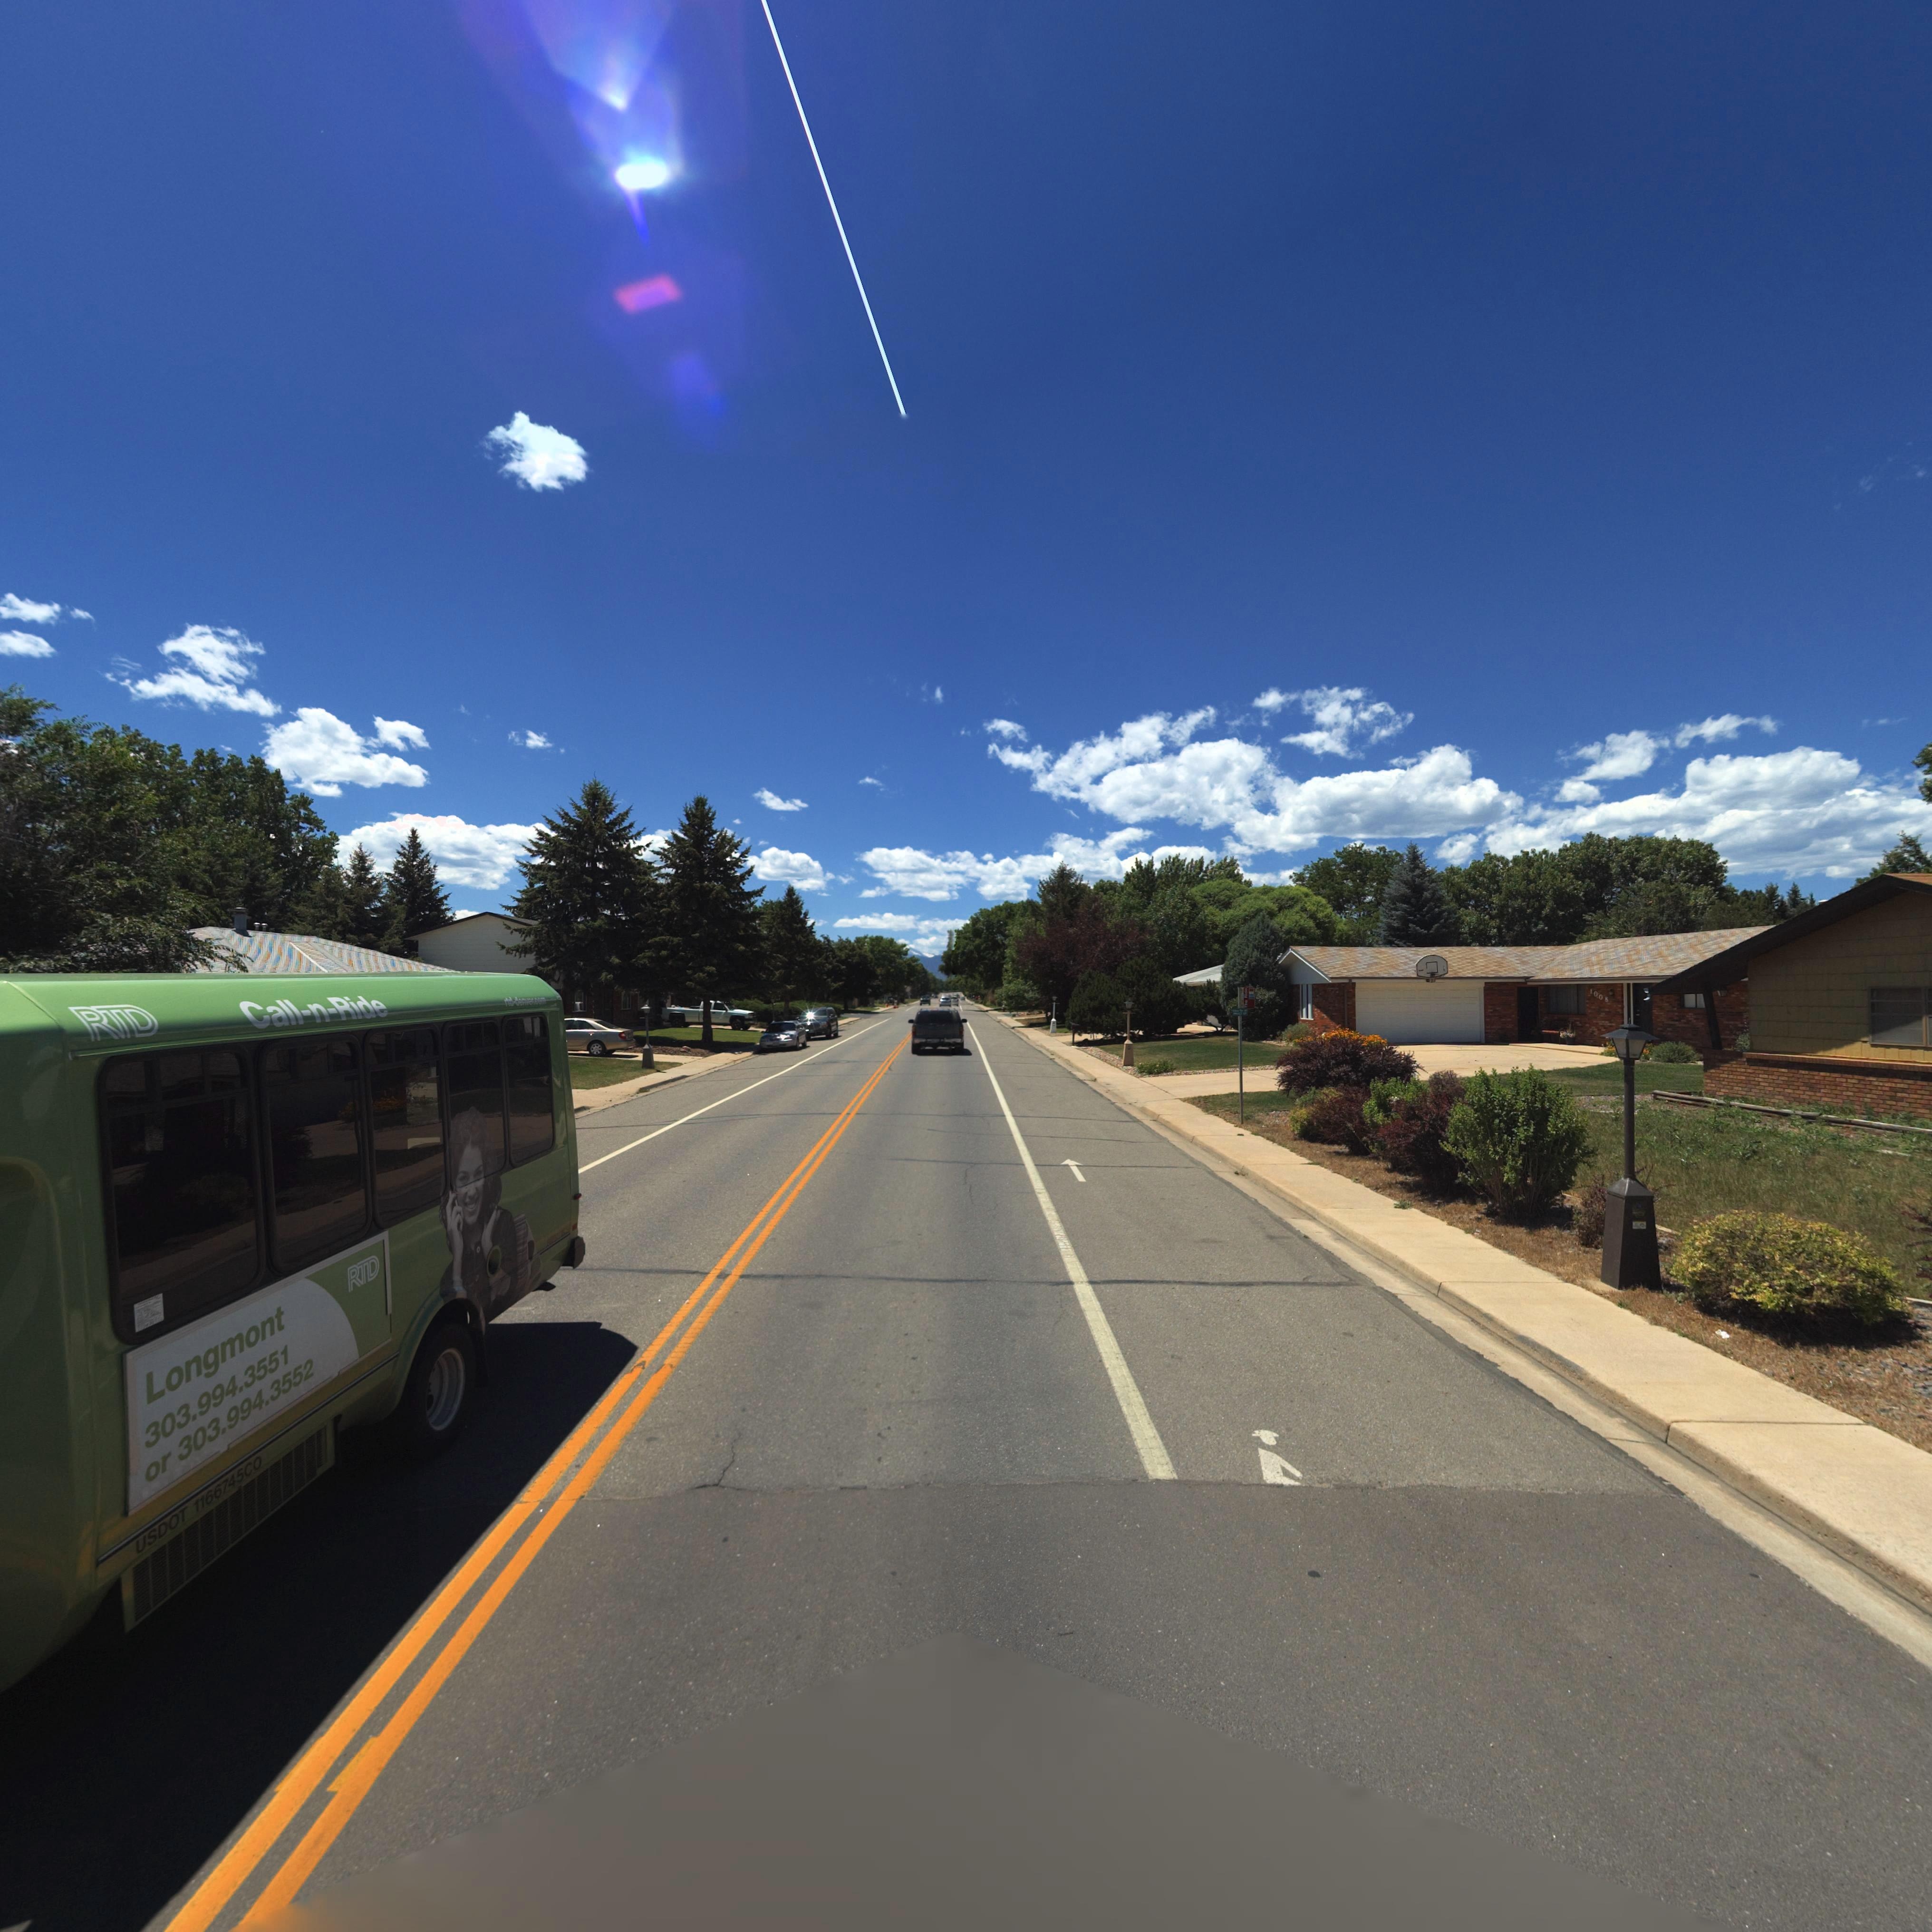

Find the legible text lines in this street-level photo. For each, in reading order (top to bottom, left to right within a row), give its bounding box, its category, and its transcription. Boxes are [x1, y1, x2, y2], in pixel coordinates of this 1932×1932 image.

[1589, 988, 1609, 1003] StreetNumber: 1008